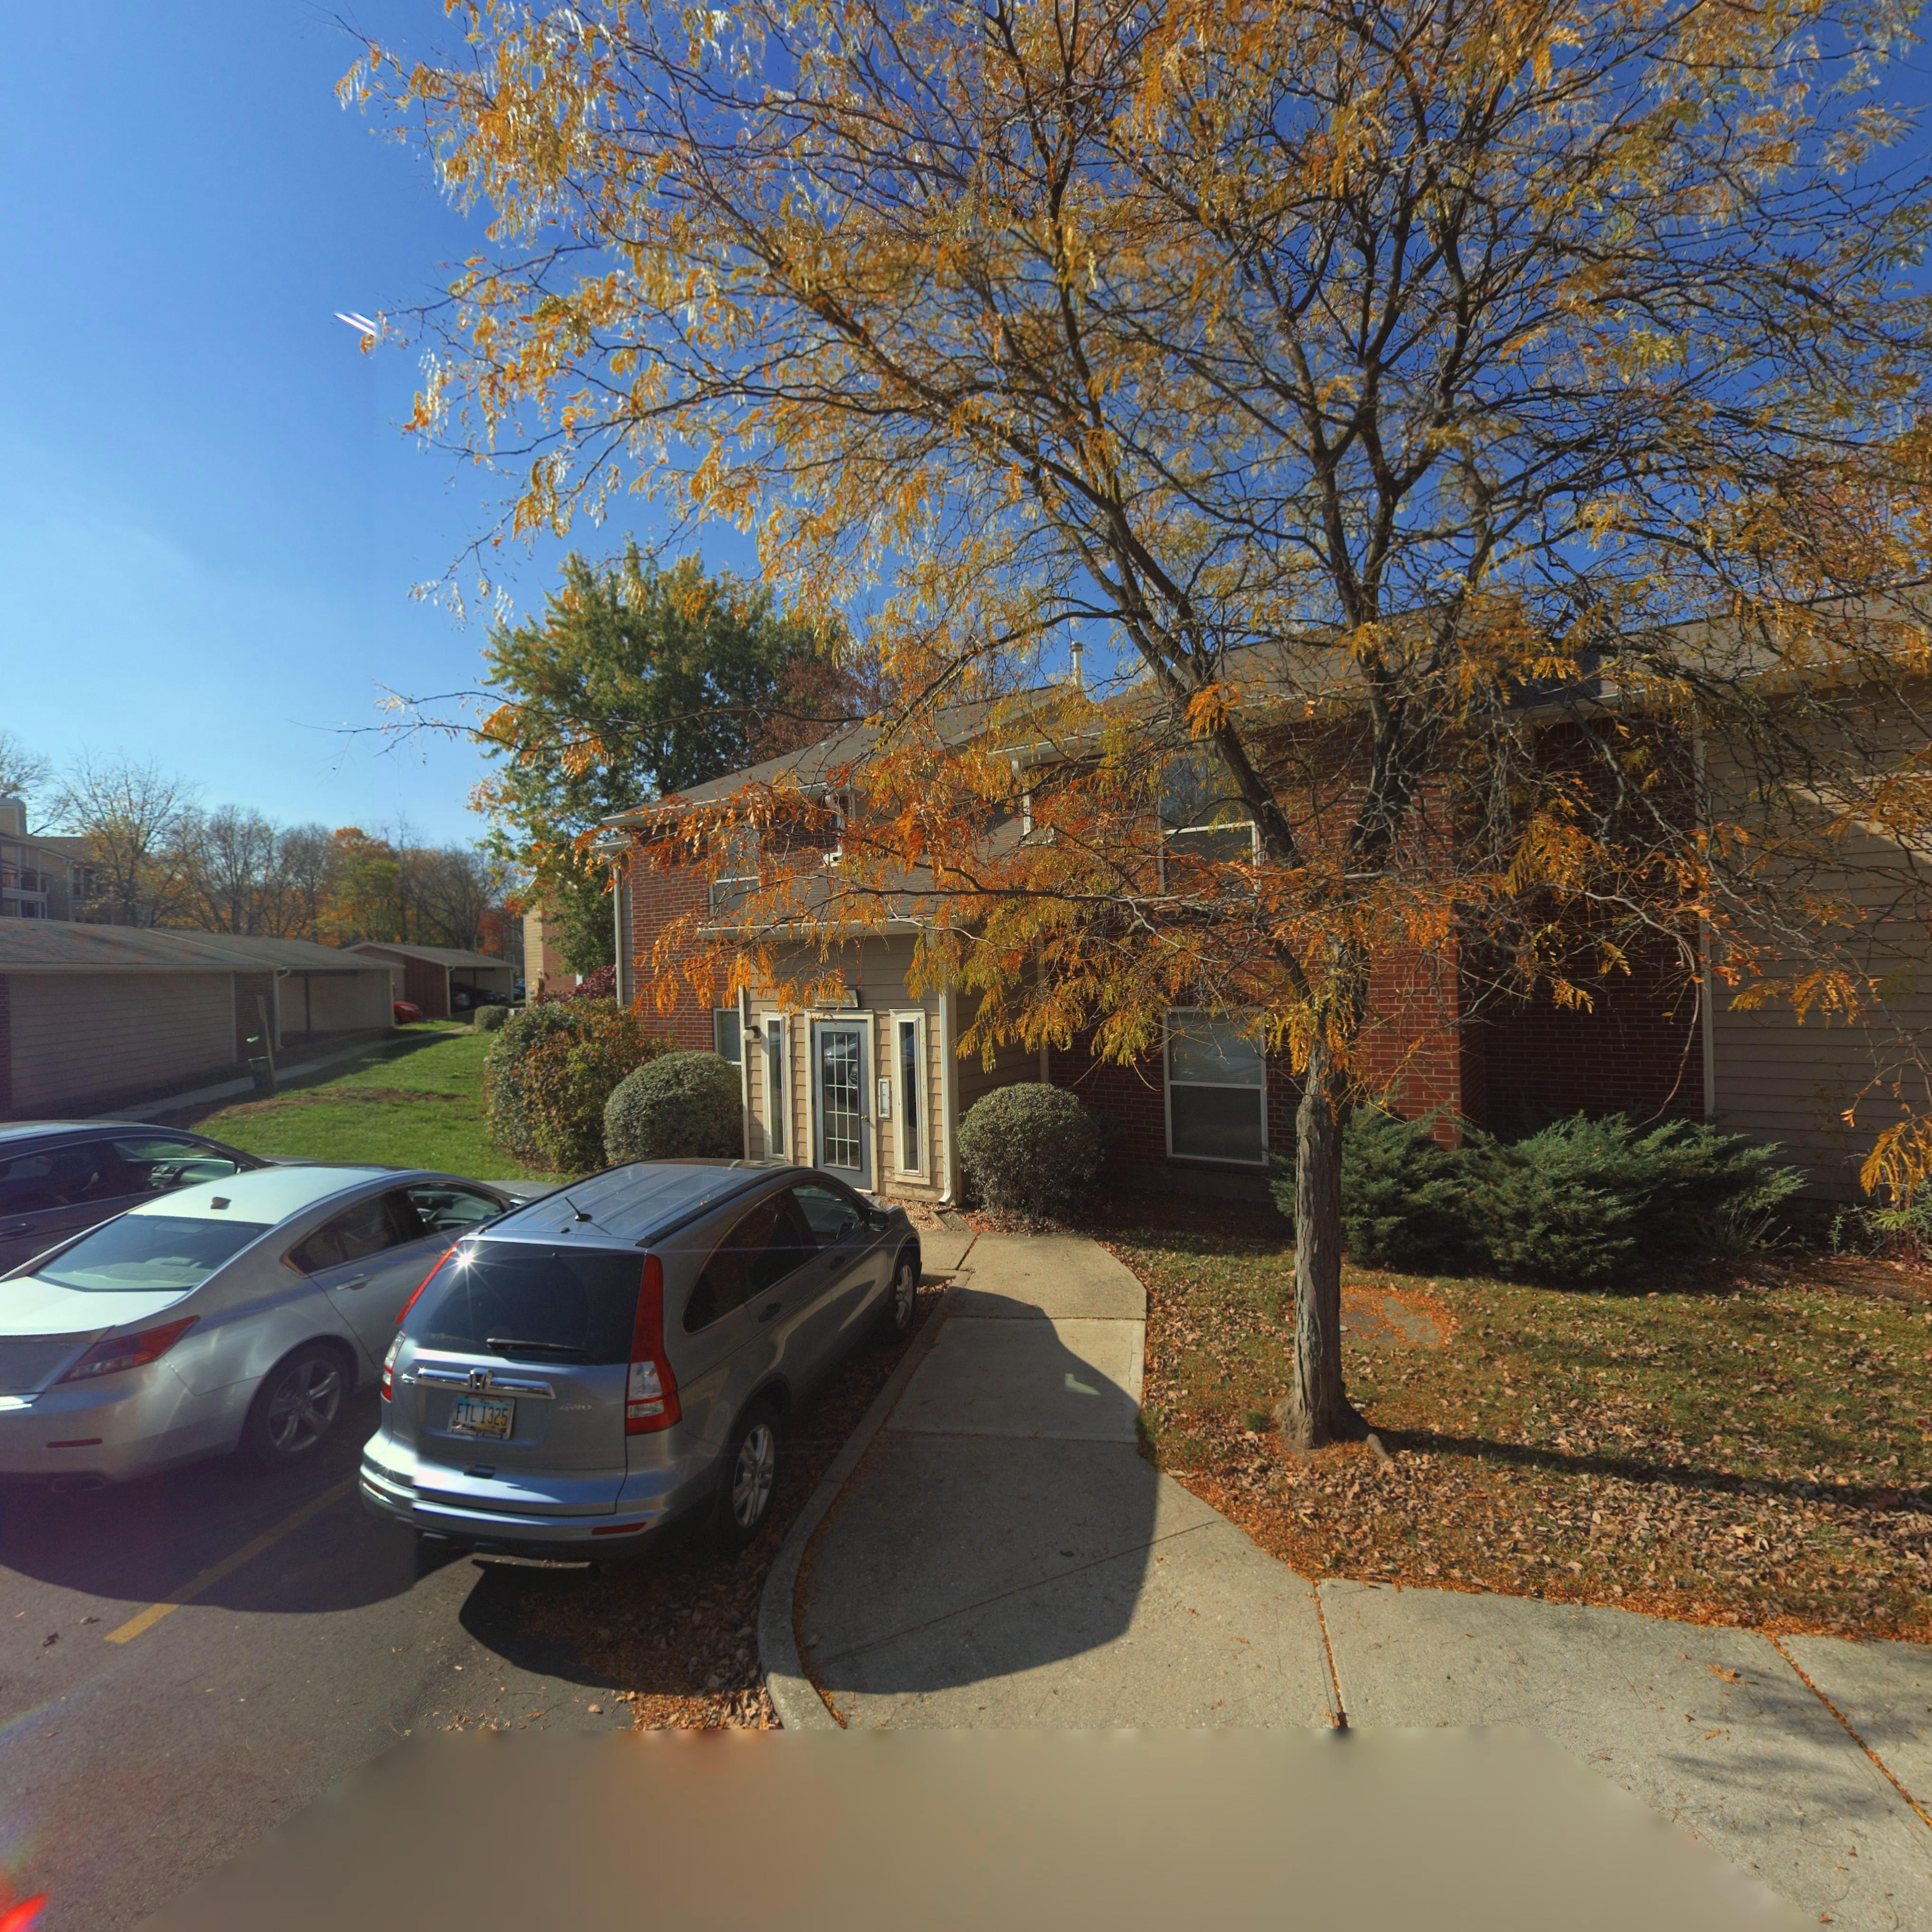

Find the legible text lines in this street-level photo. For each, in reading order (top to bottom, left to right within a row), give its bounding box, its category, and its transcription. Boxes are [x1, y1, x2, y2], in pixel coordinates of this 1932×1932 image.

[454, 1400, 511, 1429] None: FTL 1325
[557, 1401, 594, 1413] None: 4WD